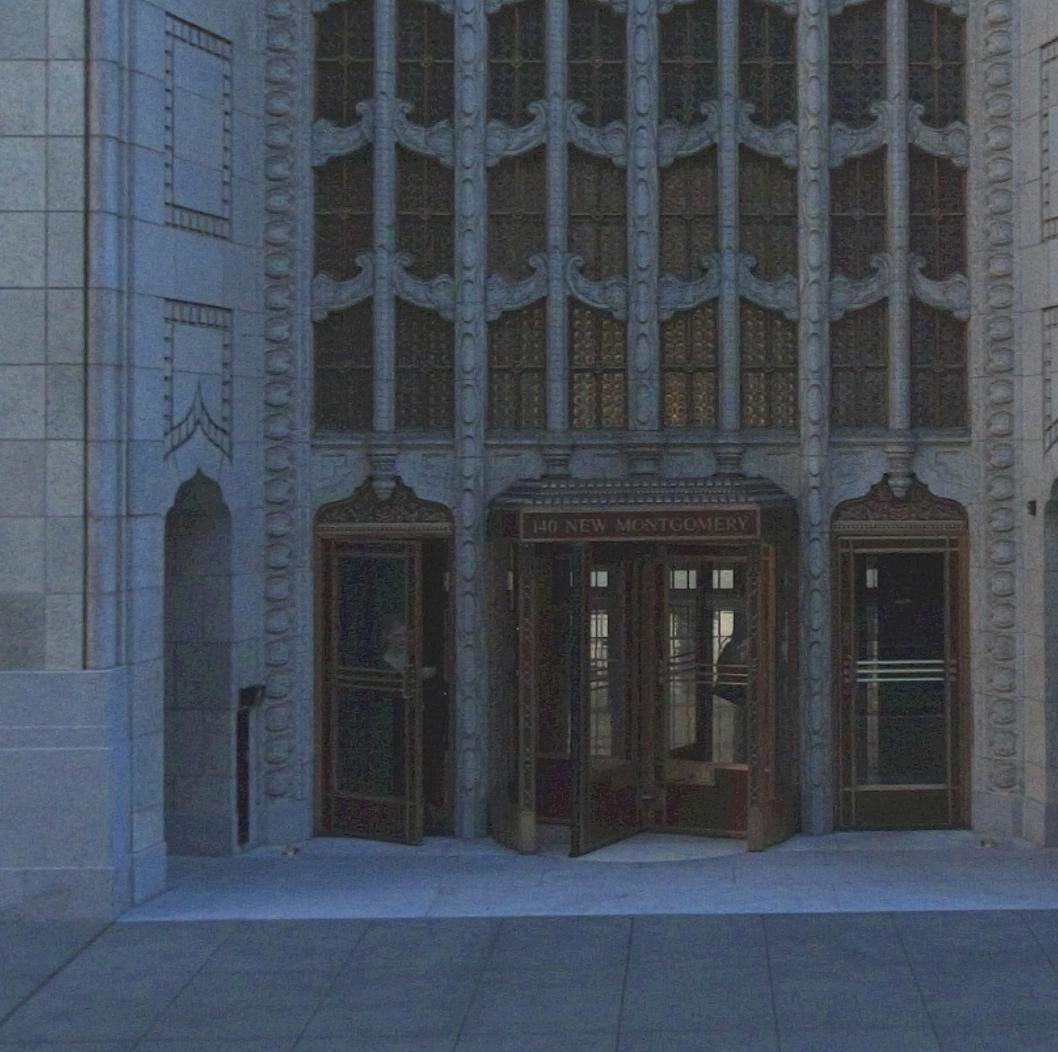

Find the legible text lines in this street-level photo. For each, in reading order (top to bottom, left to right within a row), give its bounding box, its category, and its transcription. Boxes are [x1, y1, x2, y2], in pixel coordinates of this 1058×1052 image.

[532, 518, 558, 535] StreetNumber: 140
[563, 516, 751, 534] StreetName: NEW MONTGOMERY